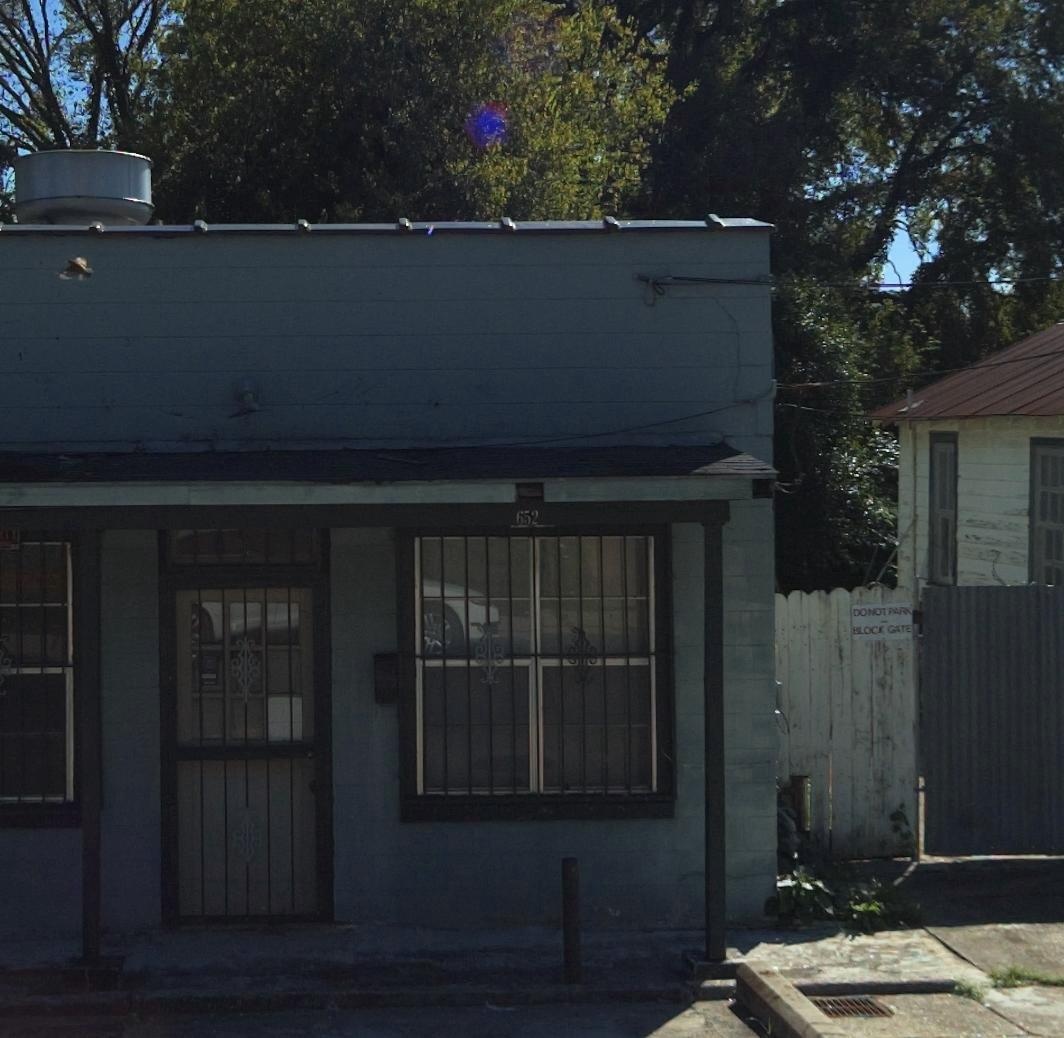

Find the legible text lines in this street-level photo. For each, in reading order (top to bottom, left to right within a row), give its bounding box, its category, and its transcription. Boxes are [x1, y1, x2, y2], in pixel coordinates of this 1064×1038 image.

[514, 509, 540, 526] StreetNumber: 652
[852, 605, 913, 618] None: DO NOT PARK
[851, 623, 913, 636] None: BLOCK GATE